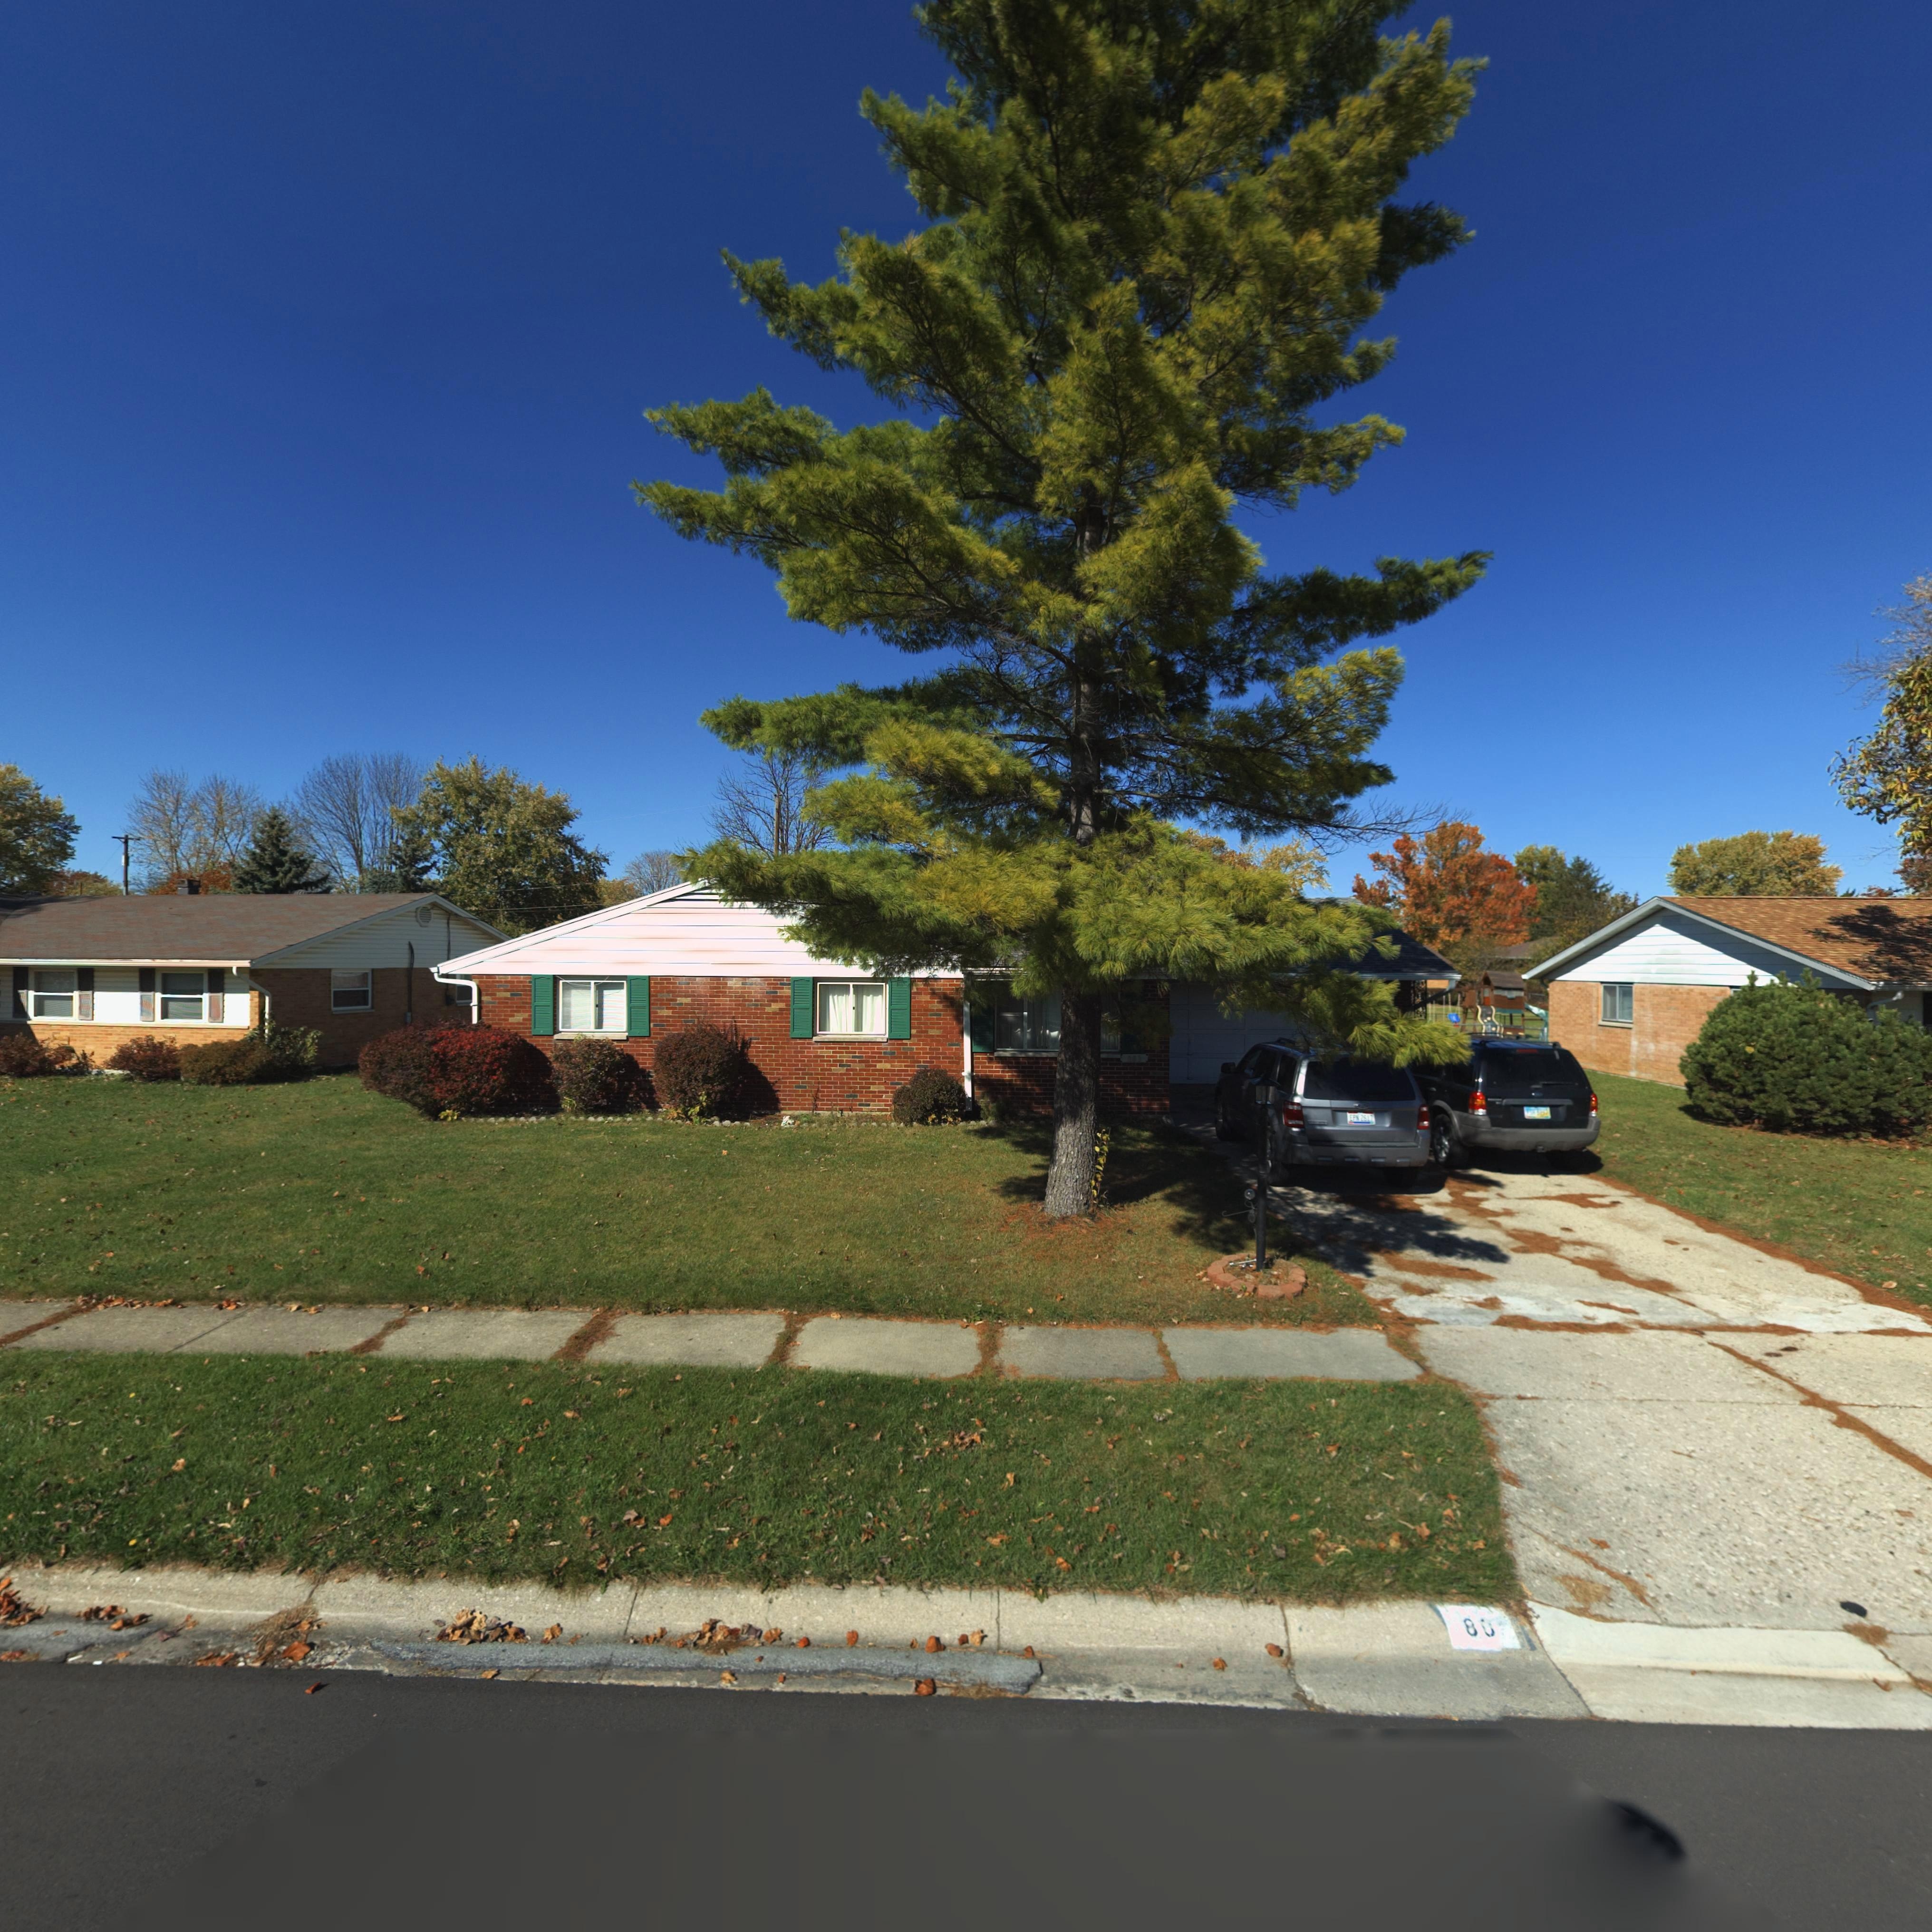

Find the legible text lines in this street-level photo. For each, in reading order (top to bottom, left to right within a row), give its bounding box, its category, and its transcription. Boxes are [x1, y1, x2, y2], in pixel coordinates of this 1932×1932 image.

[1127, 1054, 1141, 1063] StreetNumber: 803
[1462, 1617, 1497, 1638] StreetNumber: 80